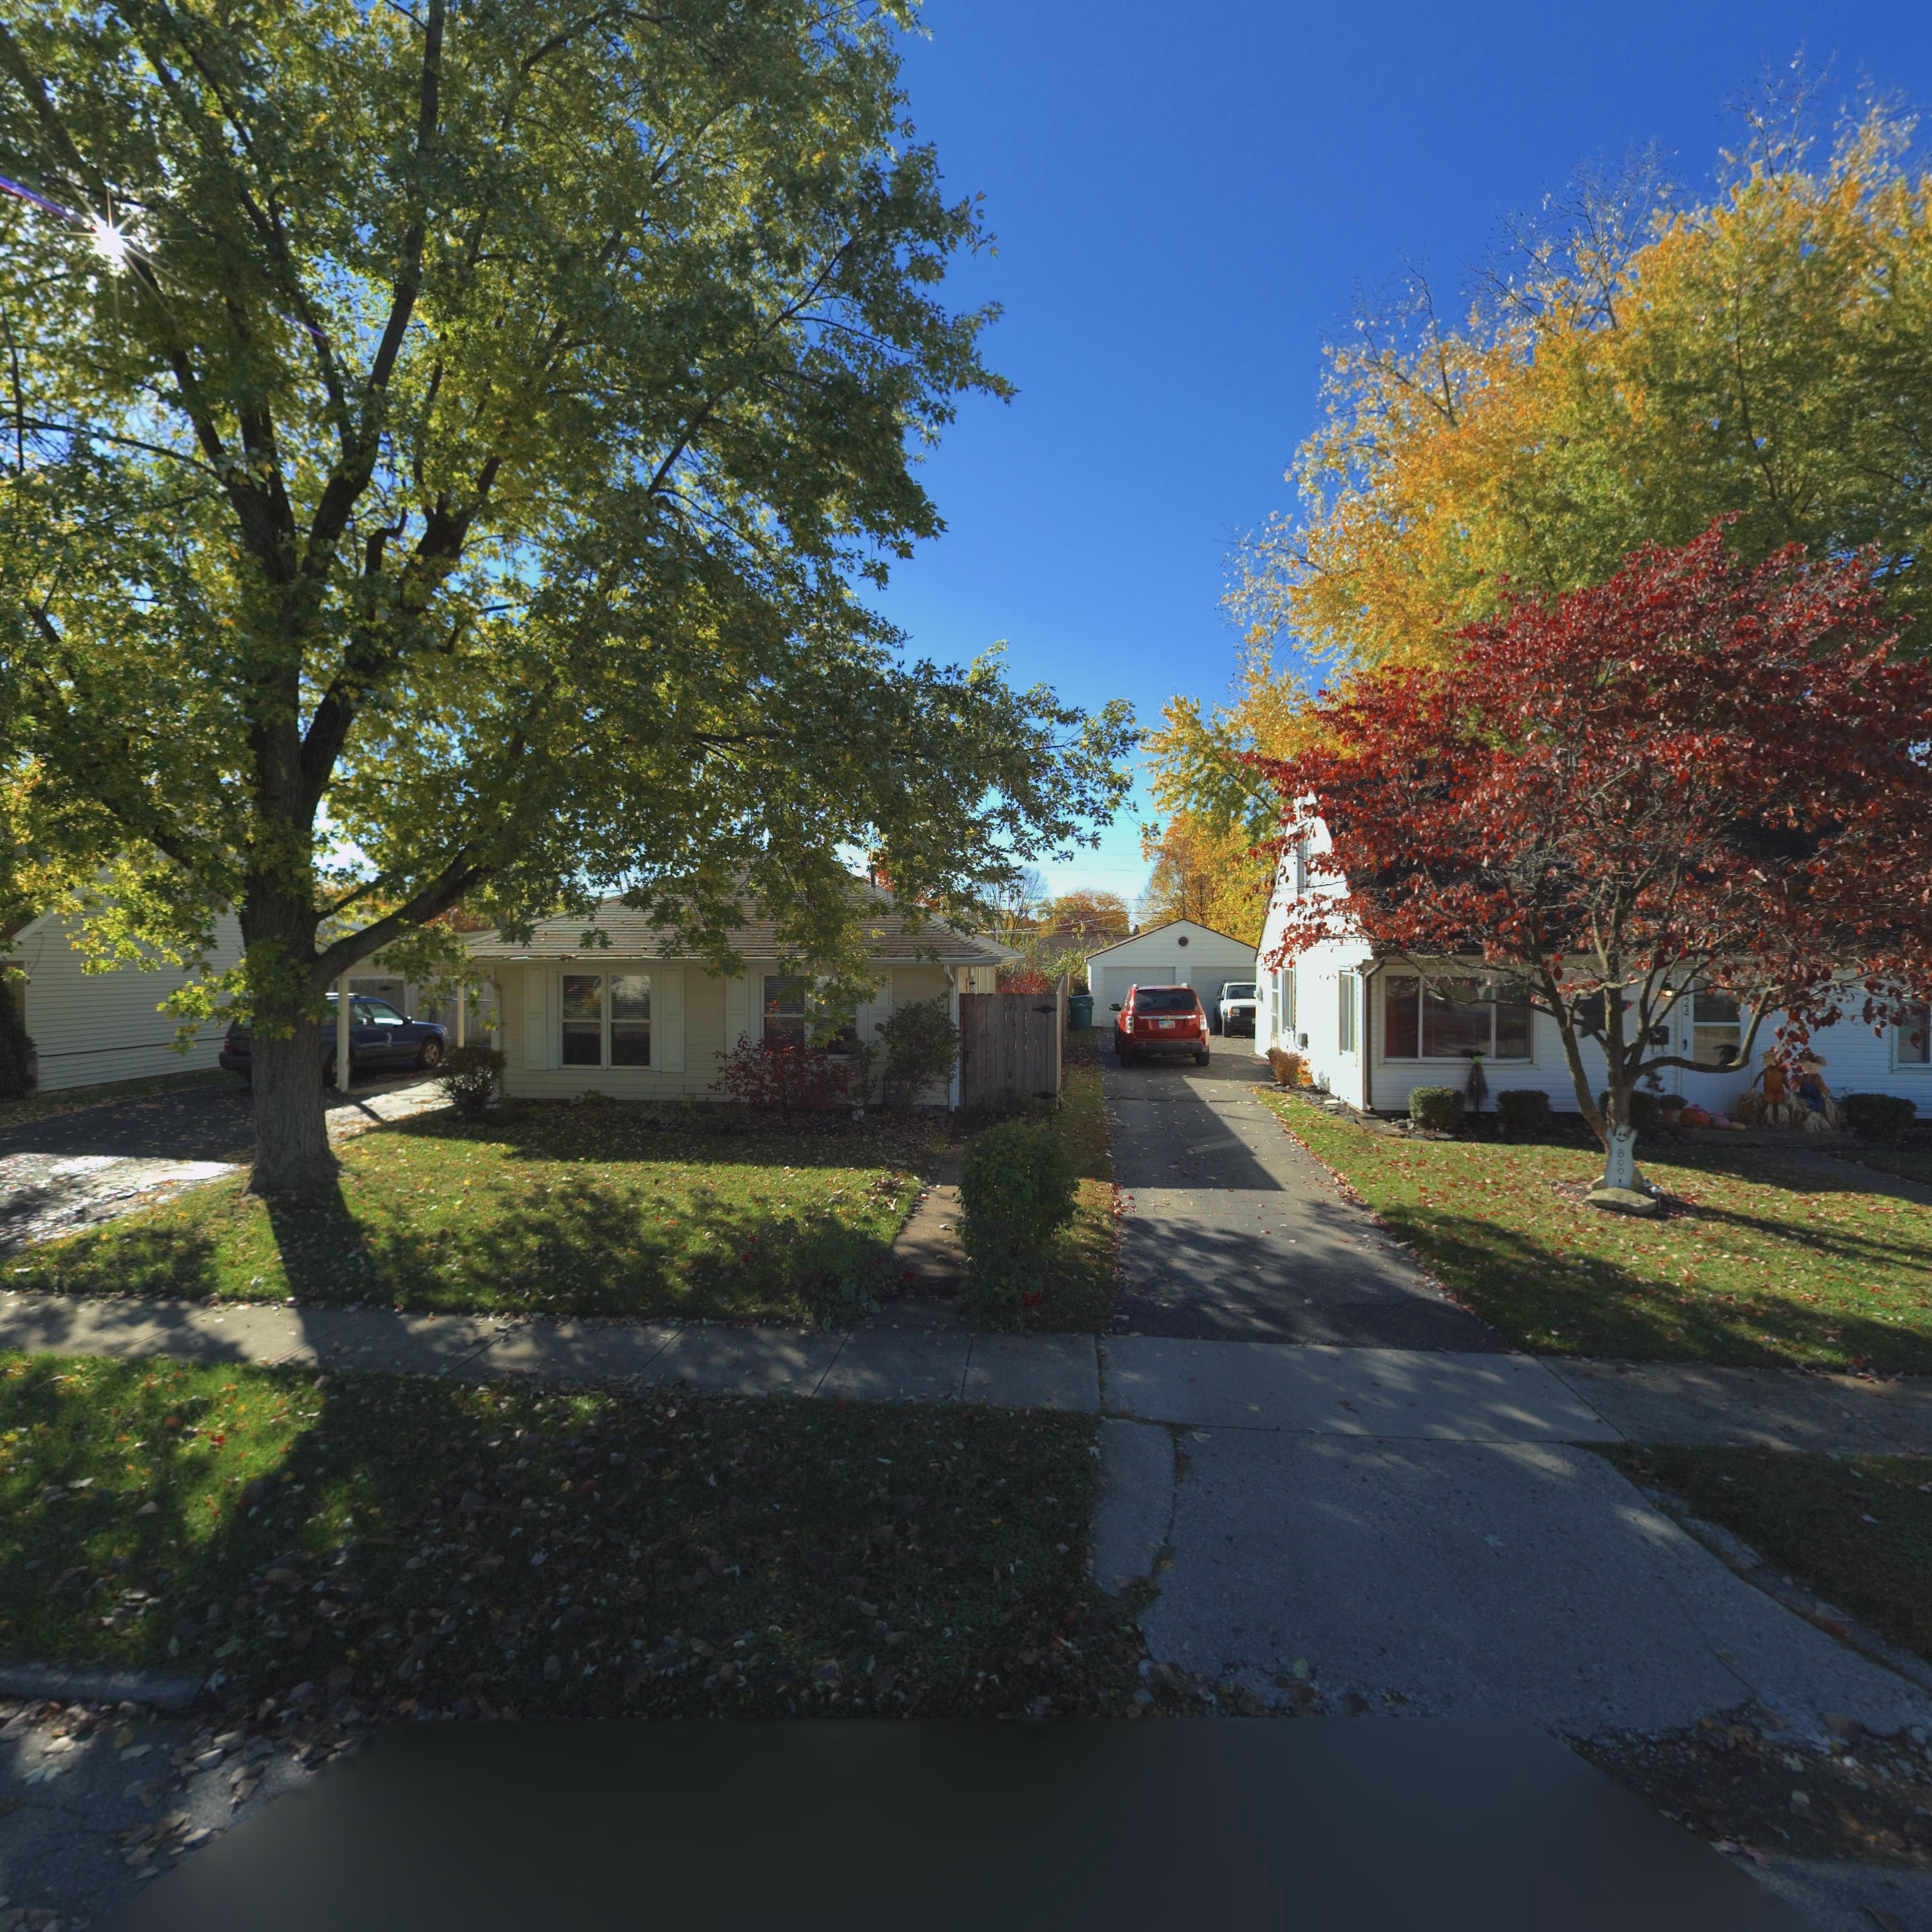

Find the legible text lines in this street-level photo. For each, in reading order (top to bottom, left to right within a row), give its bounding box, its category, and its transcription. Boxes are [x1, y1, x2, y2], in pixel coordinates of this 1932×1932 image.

[1683, 997, 1690, 1018] StreetNumber: 24
[1616, 1148, 1625, 1176] None: BOO